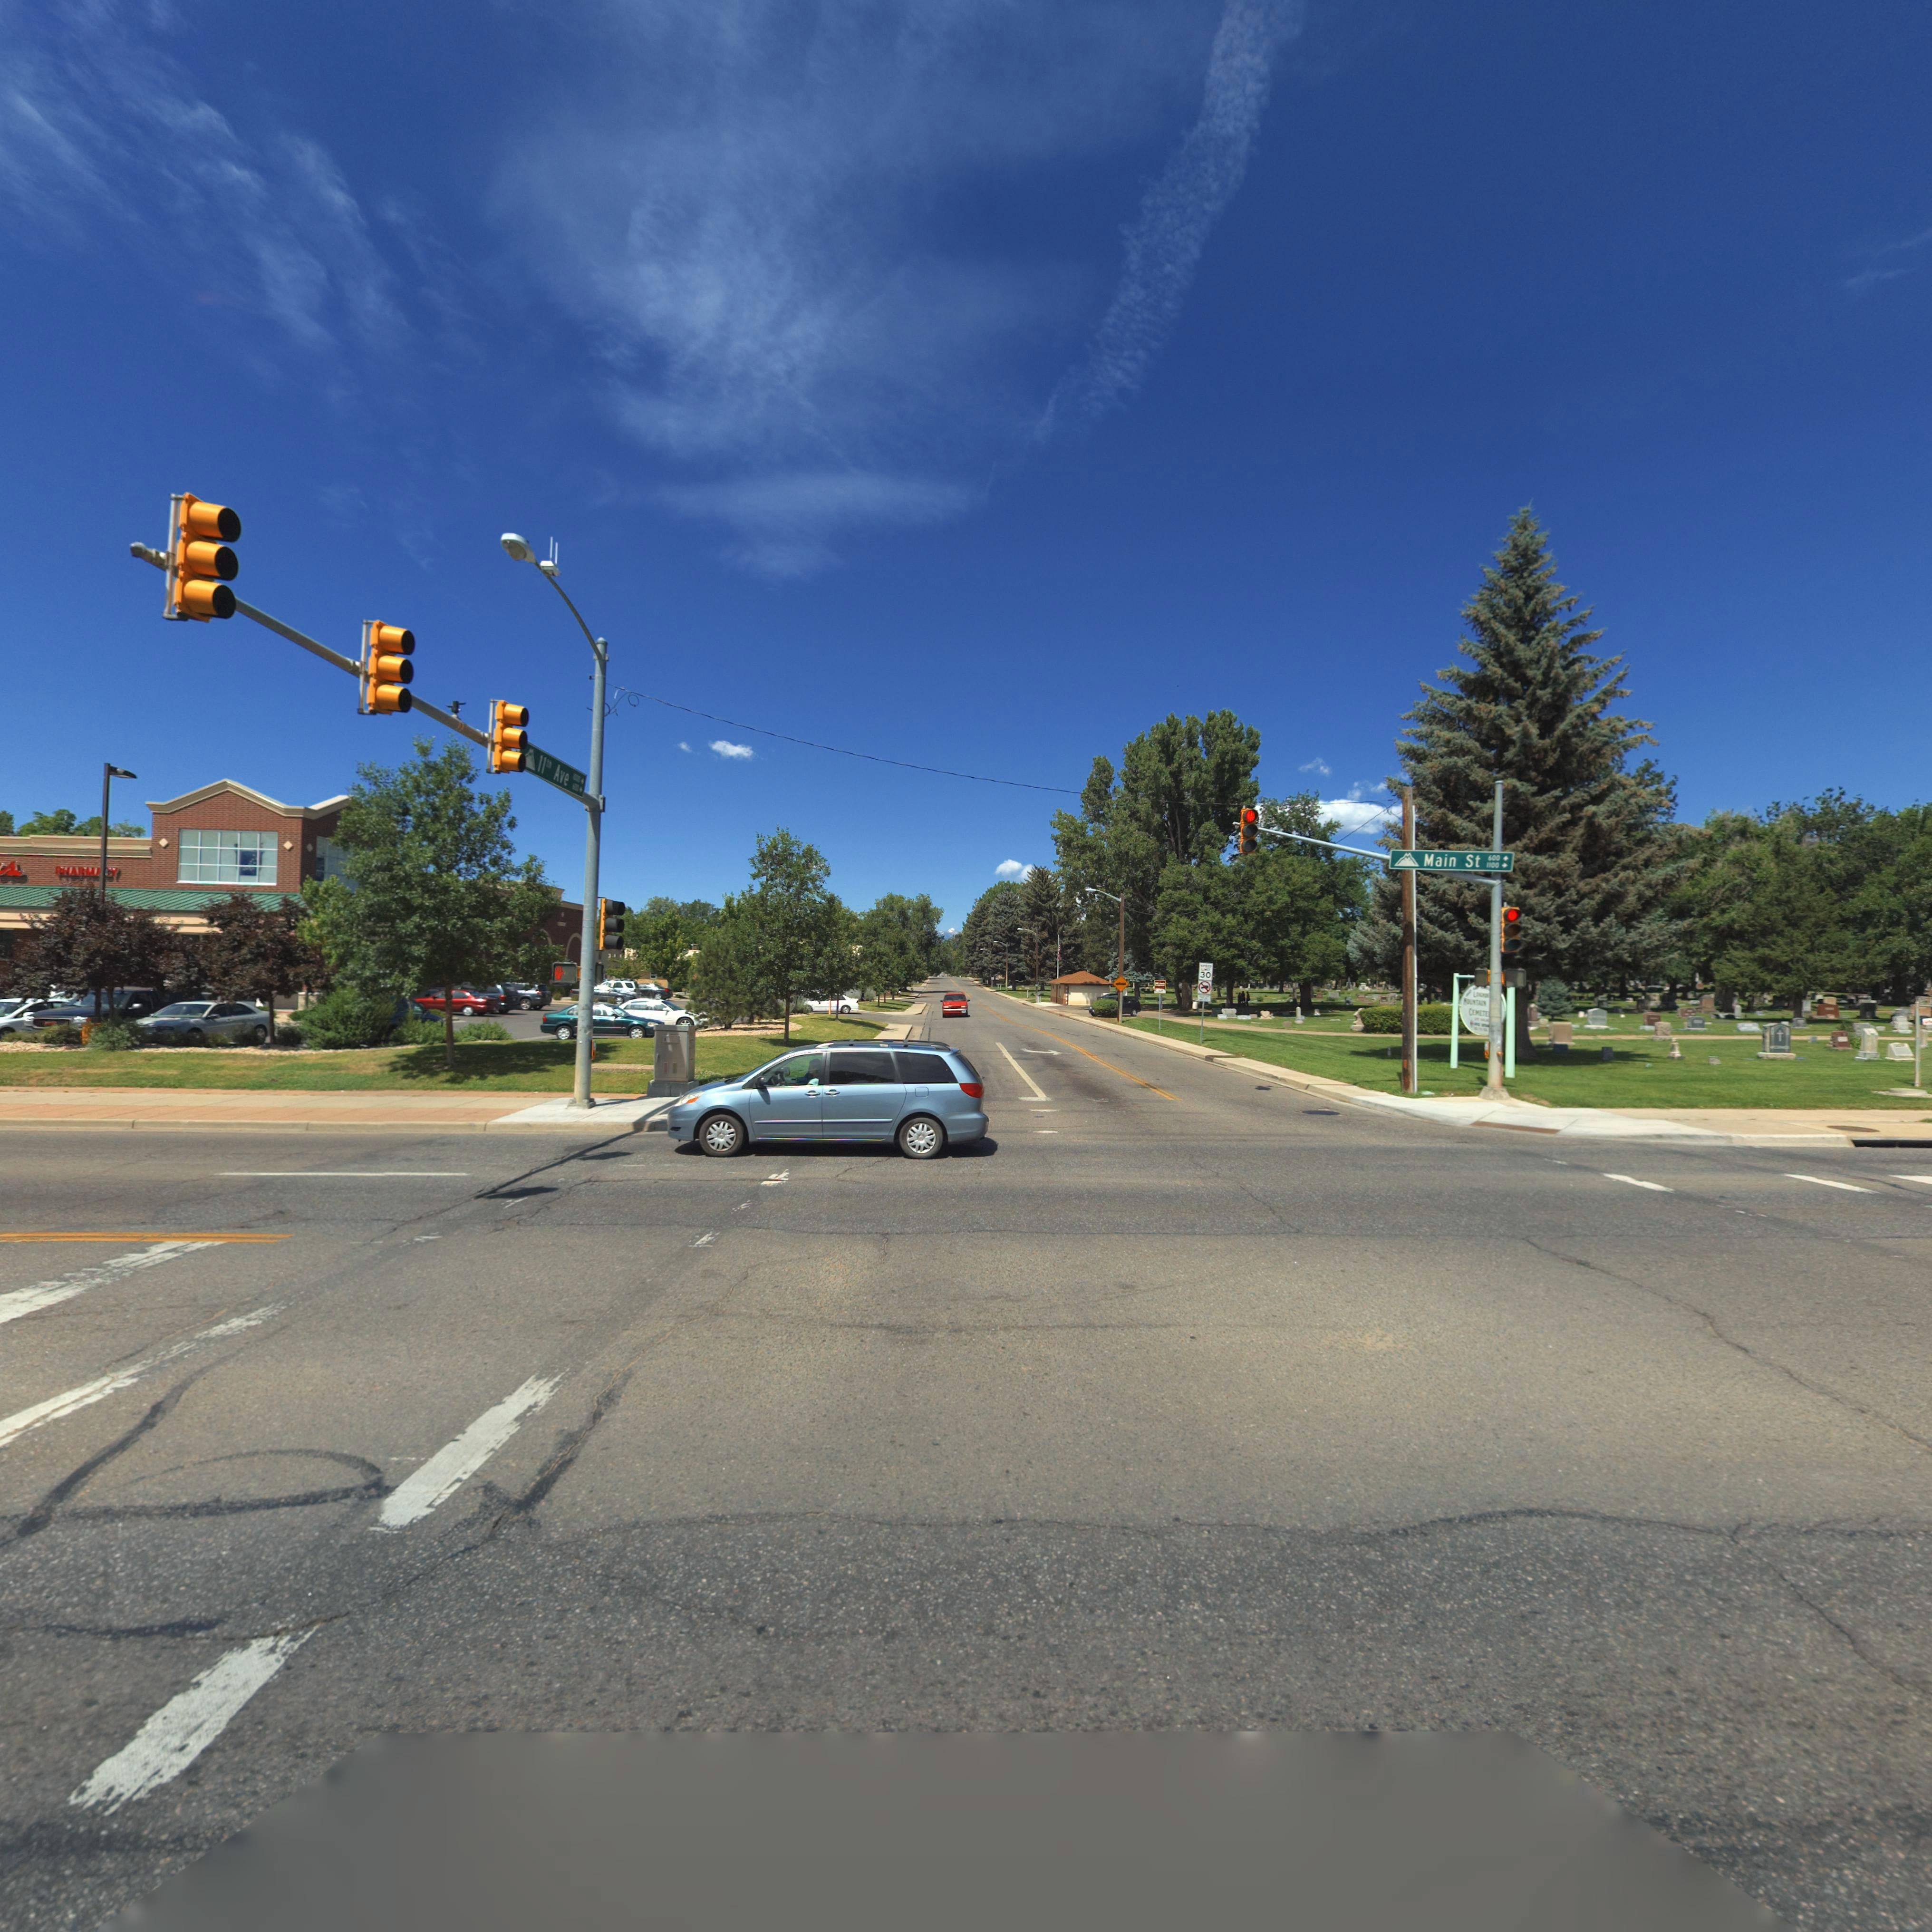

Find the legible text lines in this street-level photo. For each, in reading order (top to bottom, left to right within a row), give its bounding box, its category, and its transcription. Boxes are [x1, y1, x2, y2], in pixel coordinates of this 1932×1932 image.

[537, 754, 570, 787] StreetName: 11th Ave
[572, 772, 581, 783] StreetNumberRange: 1000
[571, 782, 583, 793] StreetNumberRange: 600
[1, 858, 24, 877] BusinessName: s
[1423, 853, 1481, 868] StreetName: Main St
[1487, 854, 1500, 861] StreetNumberRange: 600
[1485, 862, 1509, 868] StreetNumberRange: 1100->
[1473, 991, 1488, 998] BusinessName: L******
[1462, 997, 1487, 1007] BusinessName: MOUNTAIN
[1468, 1007, 1488, 1017] BusinessName: CEMETE